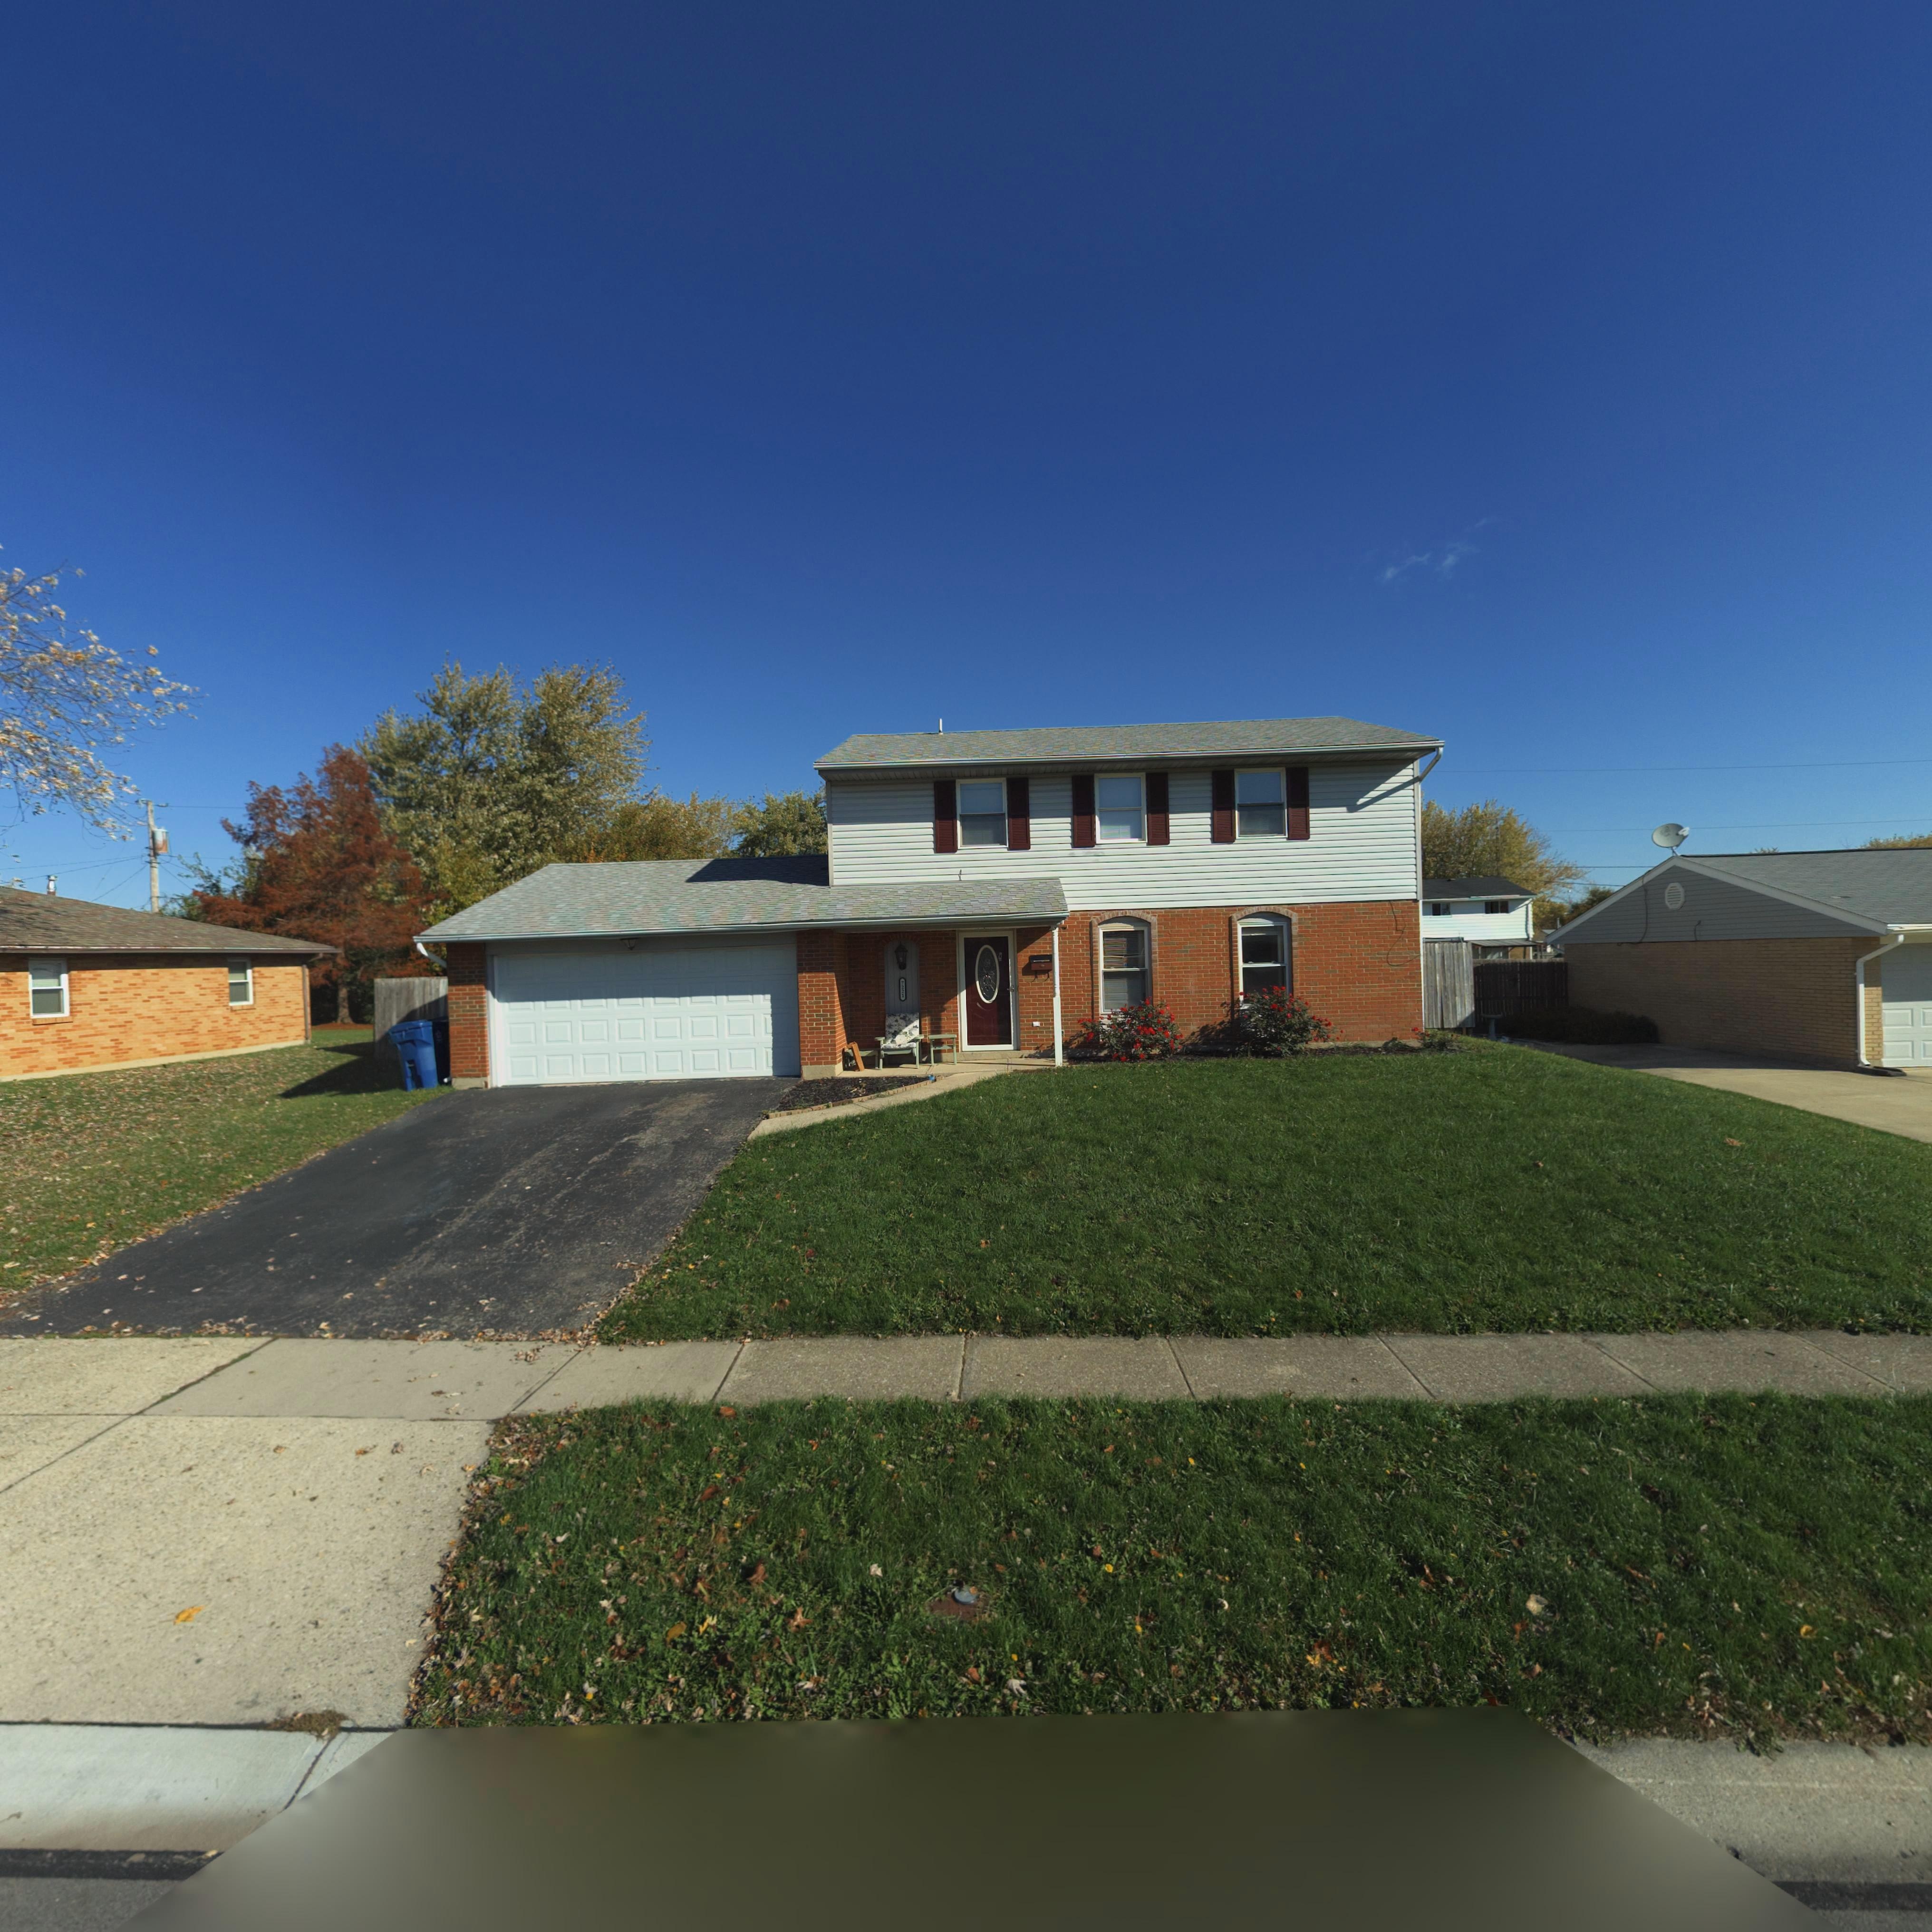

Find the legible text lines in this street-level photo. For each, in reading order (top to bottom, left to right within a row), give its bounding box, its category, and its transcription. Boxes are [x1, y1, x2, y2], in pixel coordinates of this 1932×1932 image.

[900, 980, 905, 999] StreetNumber: 7221